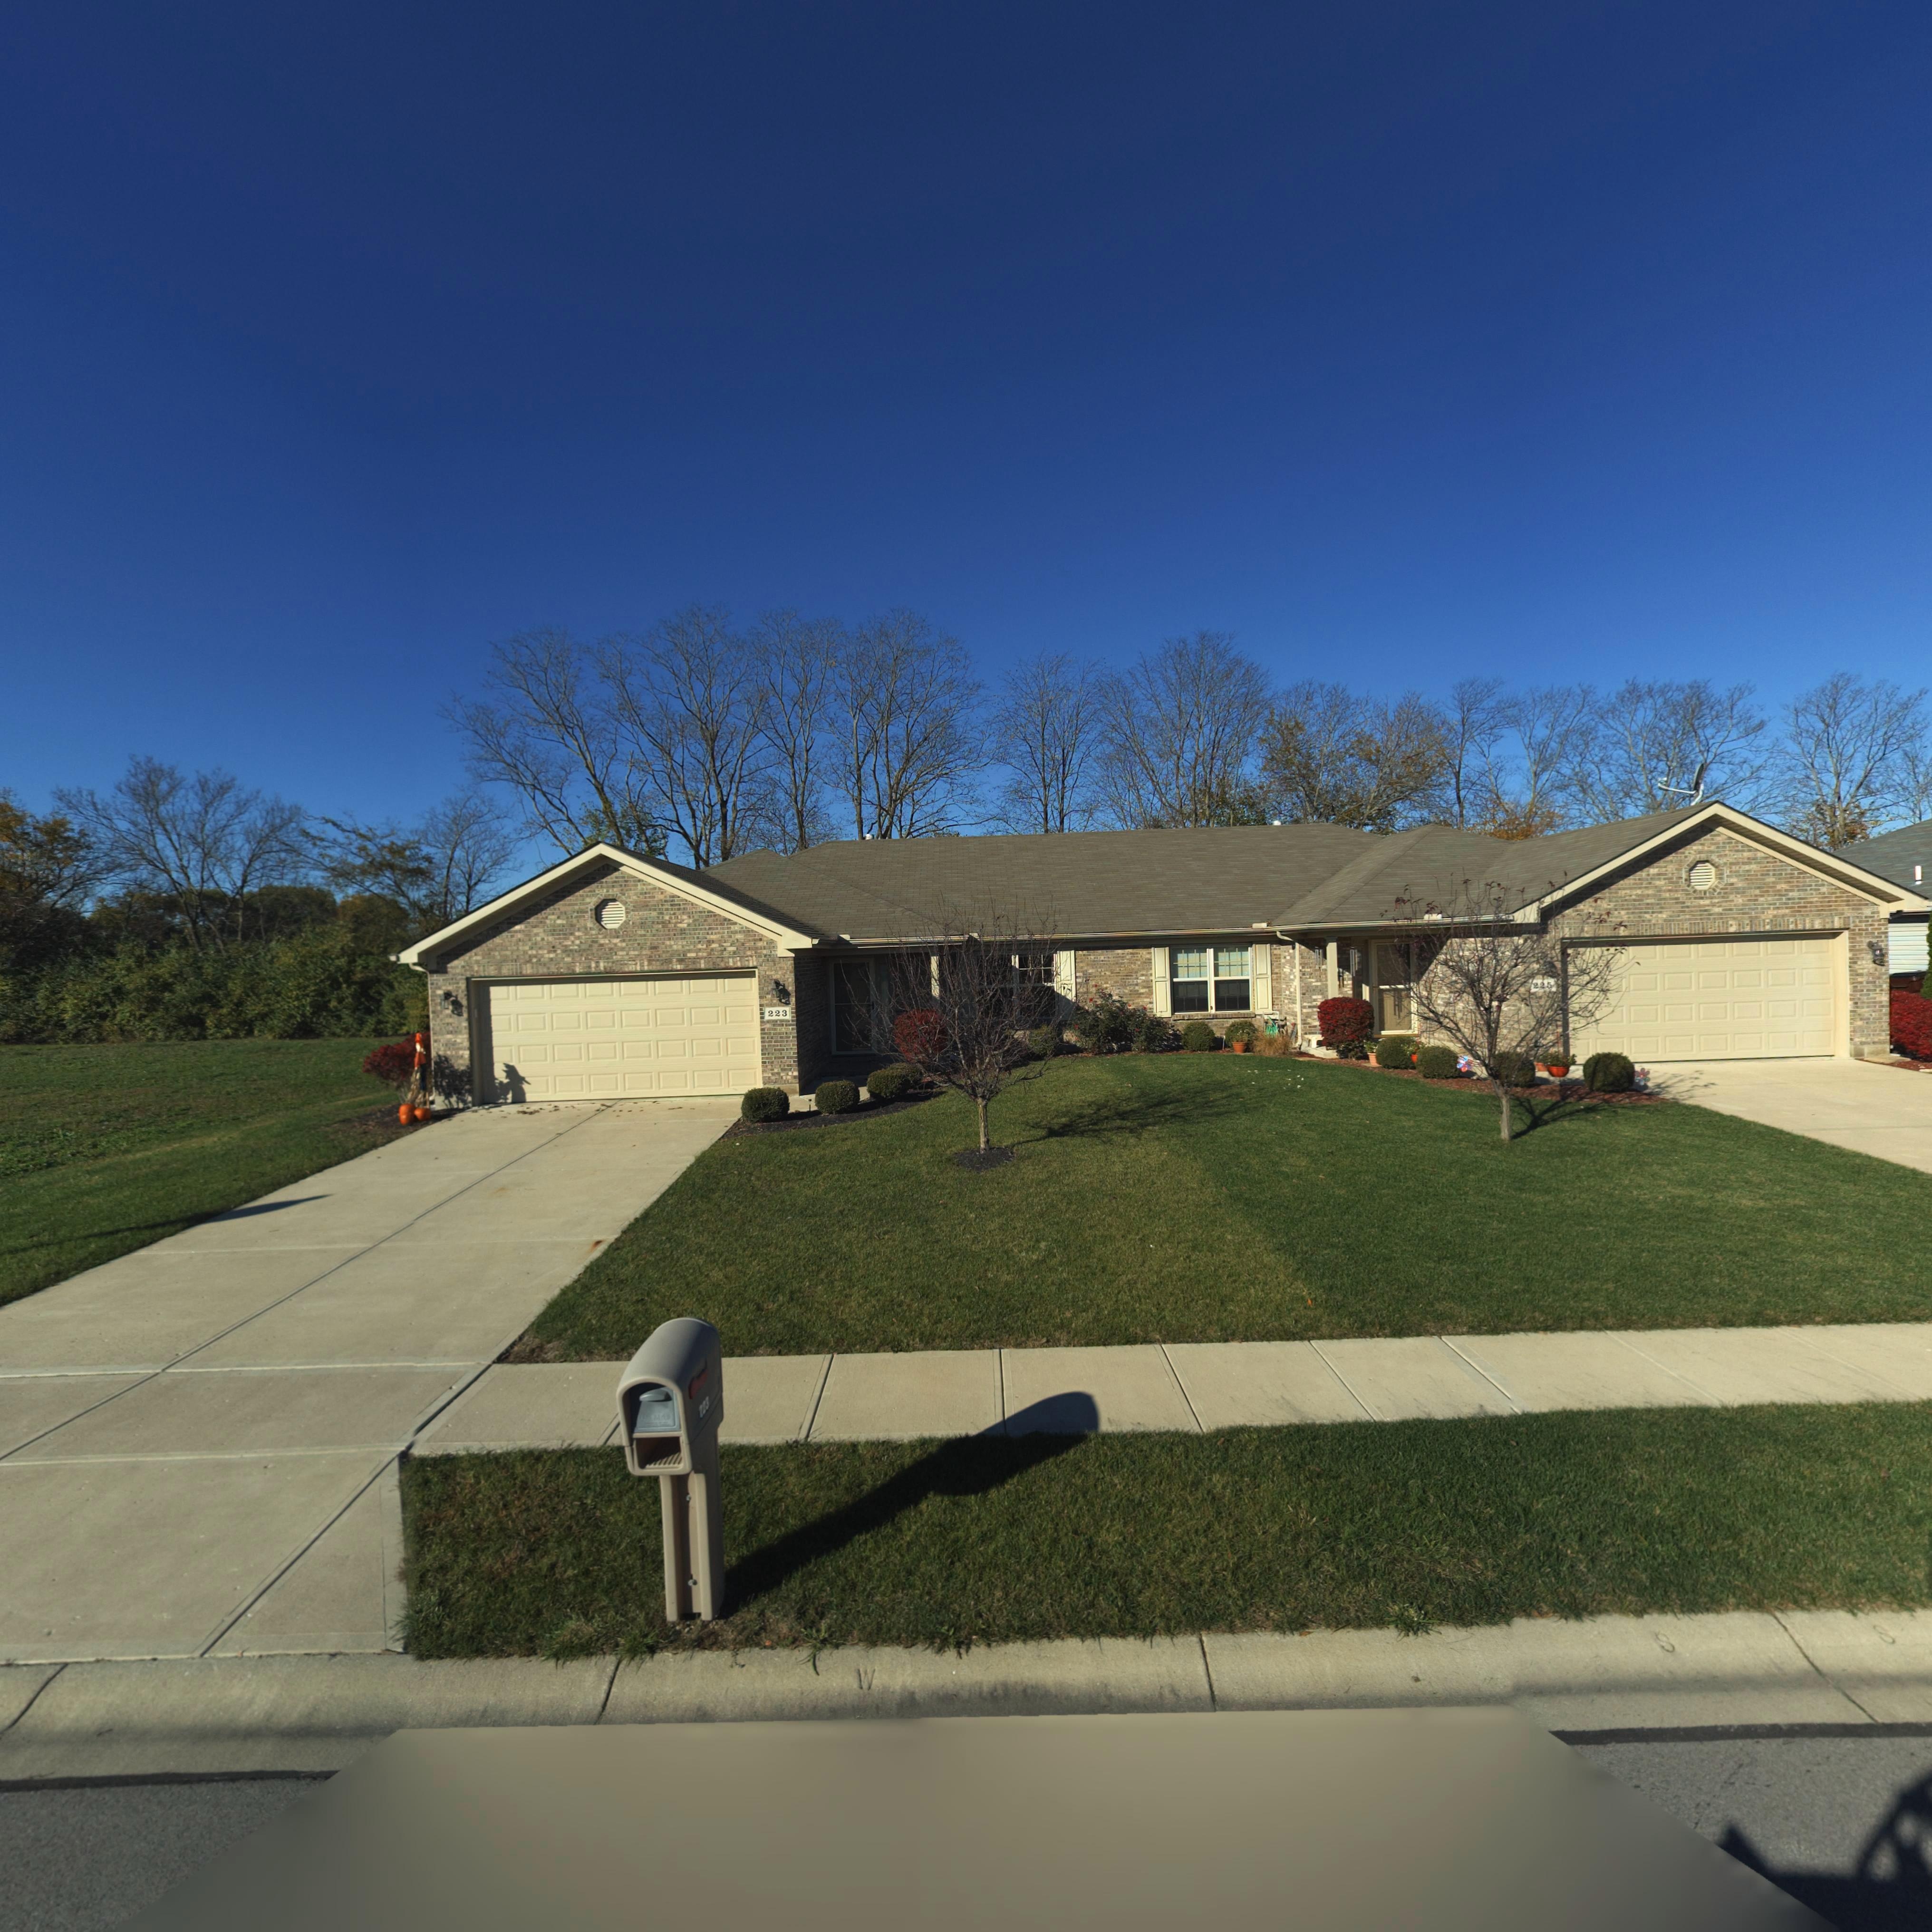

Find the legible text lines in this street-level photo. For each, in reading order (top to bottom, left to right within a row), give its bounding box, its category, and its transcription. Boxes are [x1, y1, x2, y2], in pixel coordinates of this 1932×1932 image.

[1533, 982, 1539, 989] StreetNumber: 2
[767, 1009, 788, 1017] StreetNumber: 223
[697, 1395, 710, 1419] StreetNumber: 223